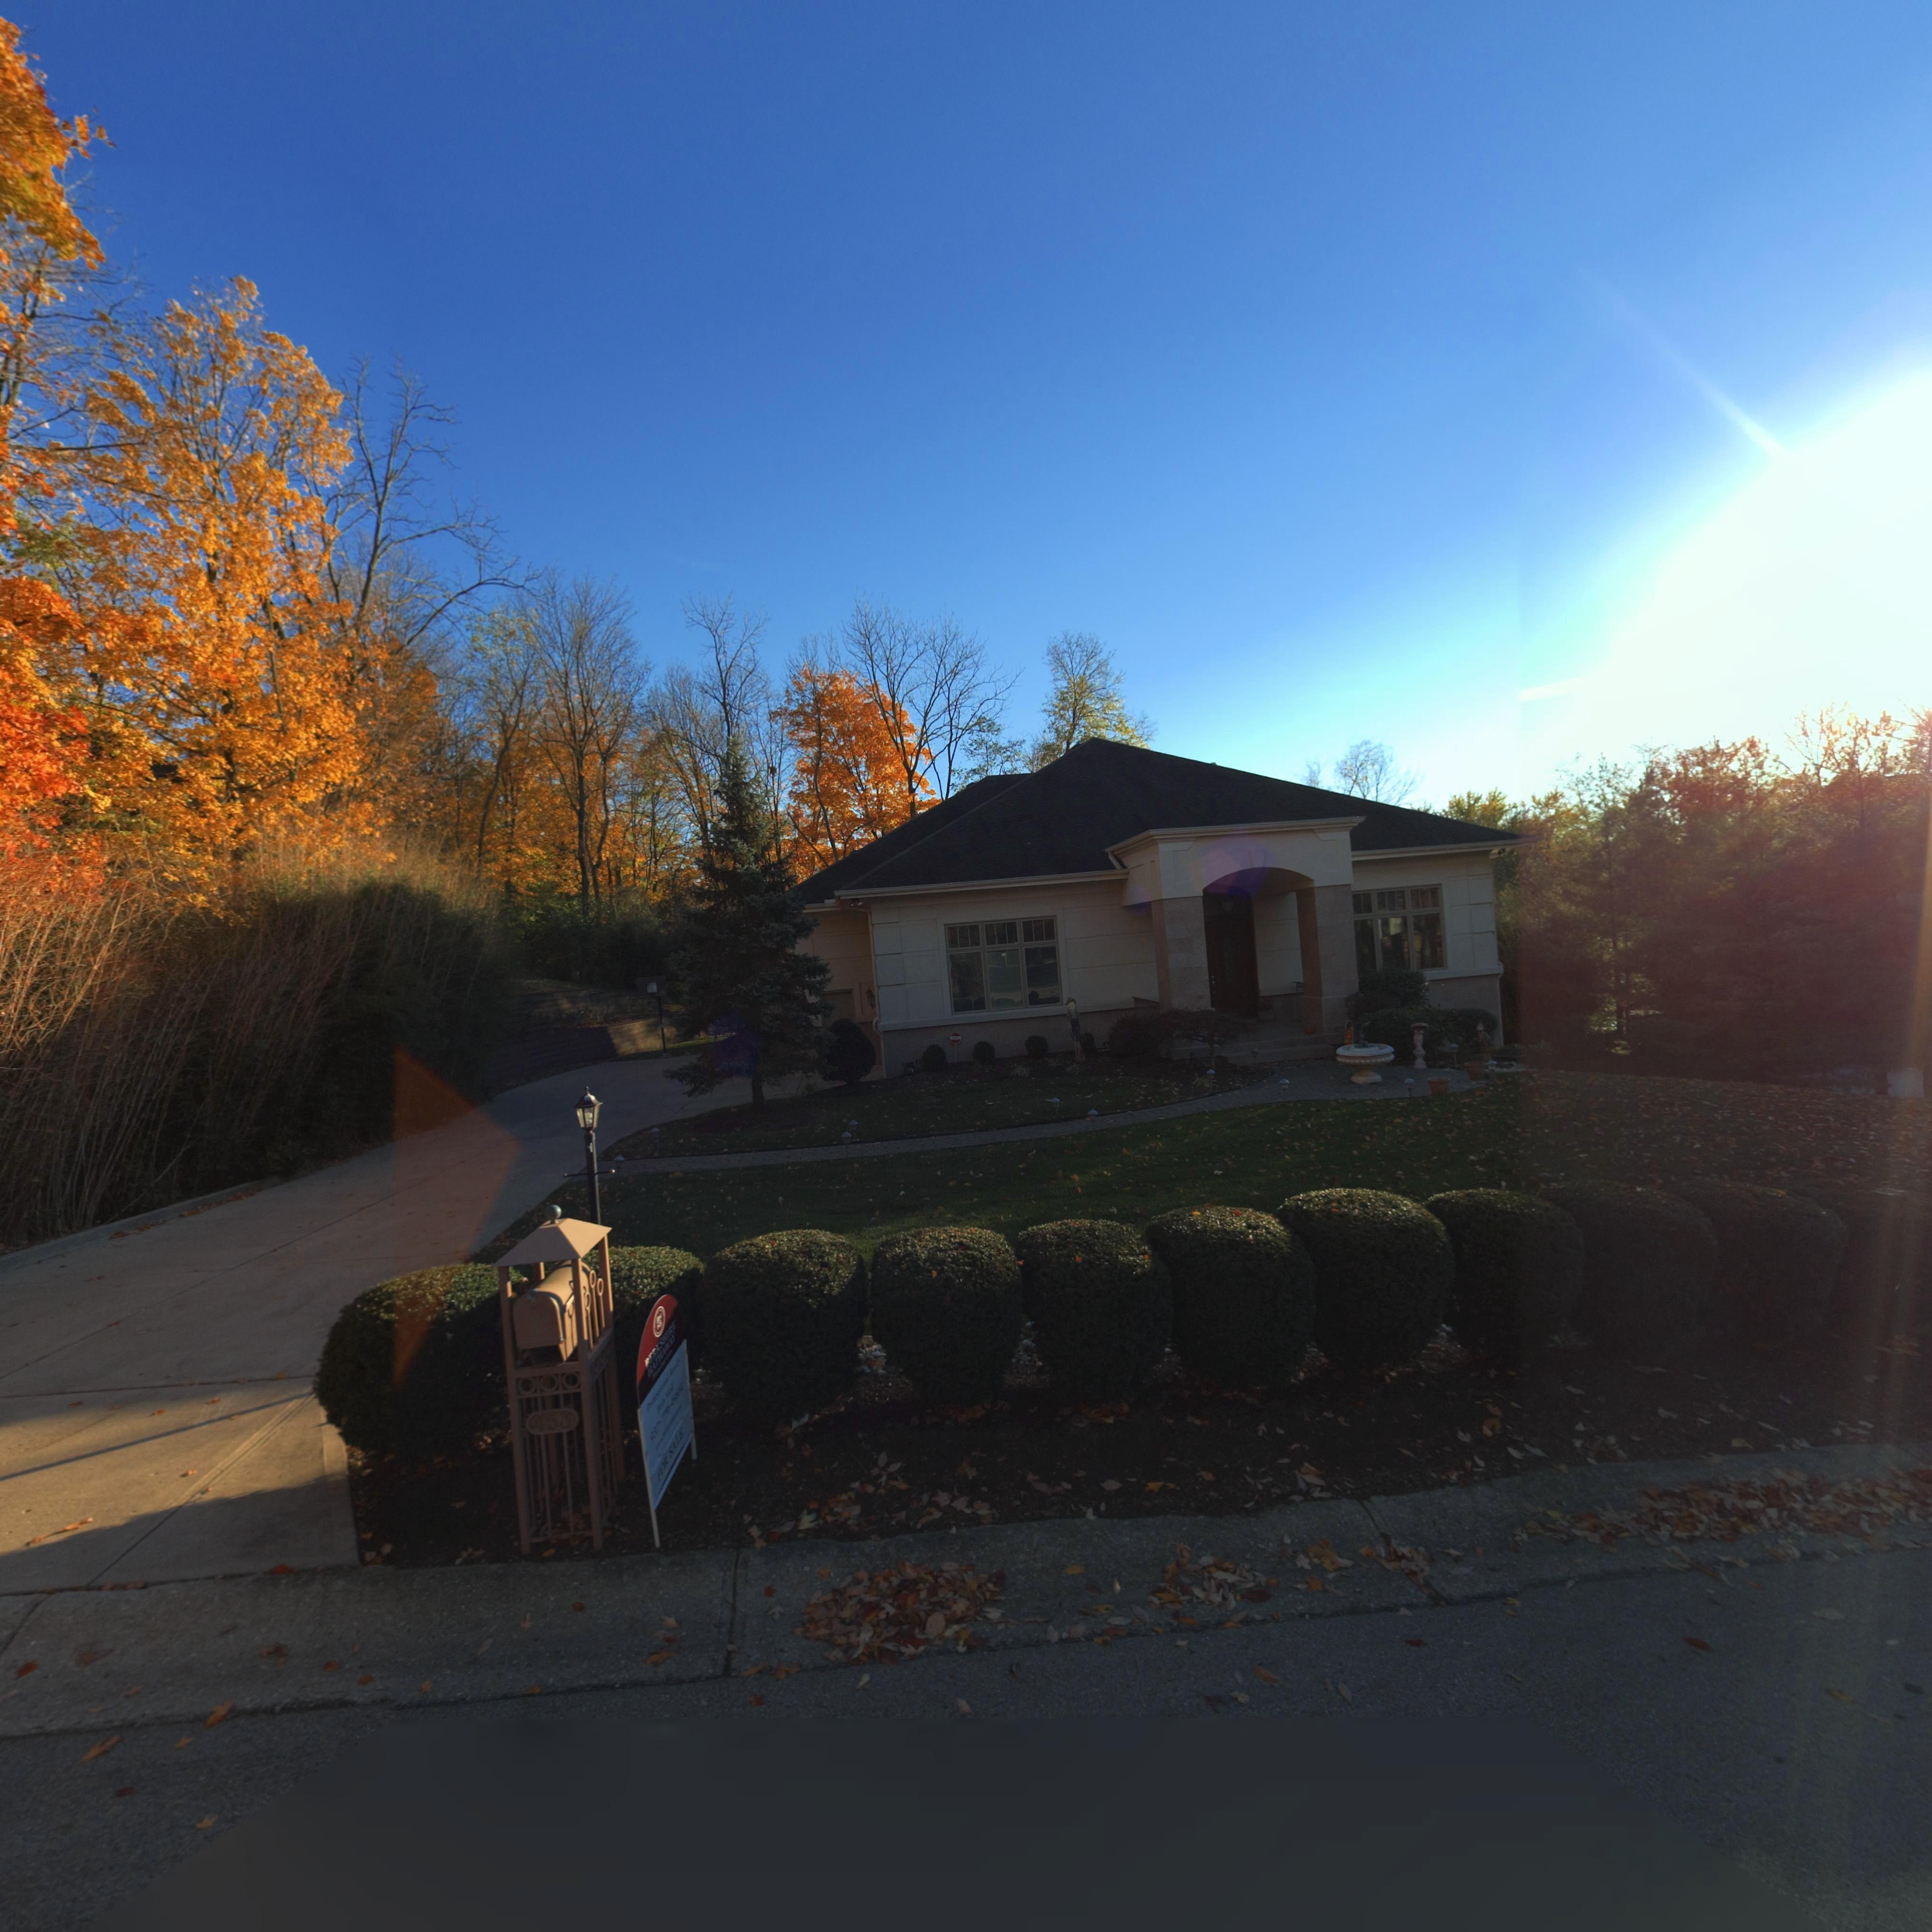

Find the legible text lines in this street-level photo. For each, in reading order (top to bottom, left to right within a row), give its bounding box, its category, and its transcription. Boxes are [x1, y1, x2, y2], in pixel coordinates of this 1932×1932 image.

[643, 1317, 677, 1372] None: BERKSHIRE
[647, 1329, 676, 1379] None: HATHAWAY
[531, 1410, 574, 1436] StreetNumber: 453
[649, 1380, 685, 1448] None: 937-776-6902
[656, 1423, 686, 1486] None: FOR SALE